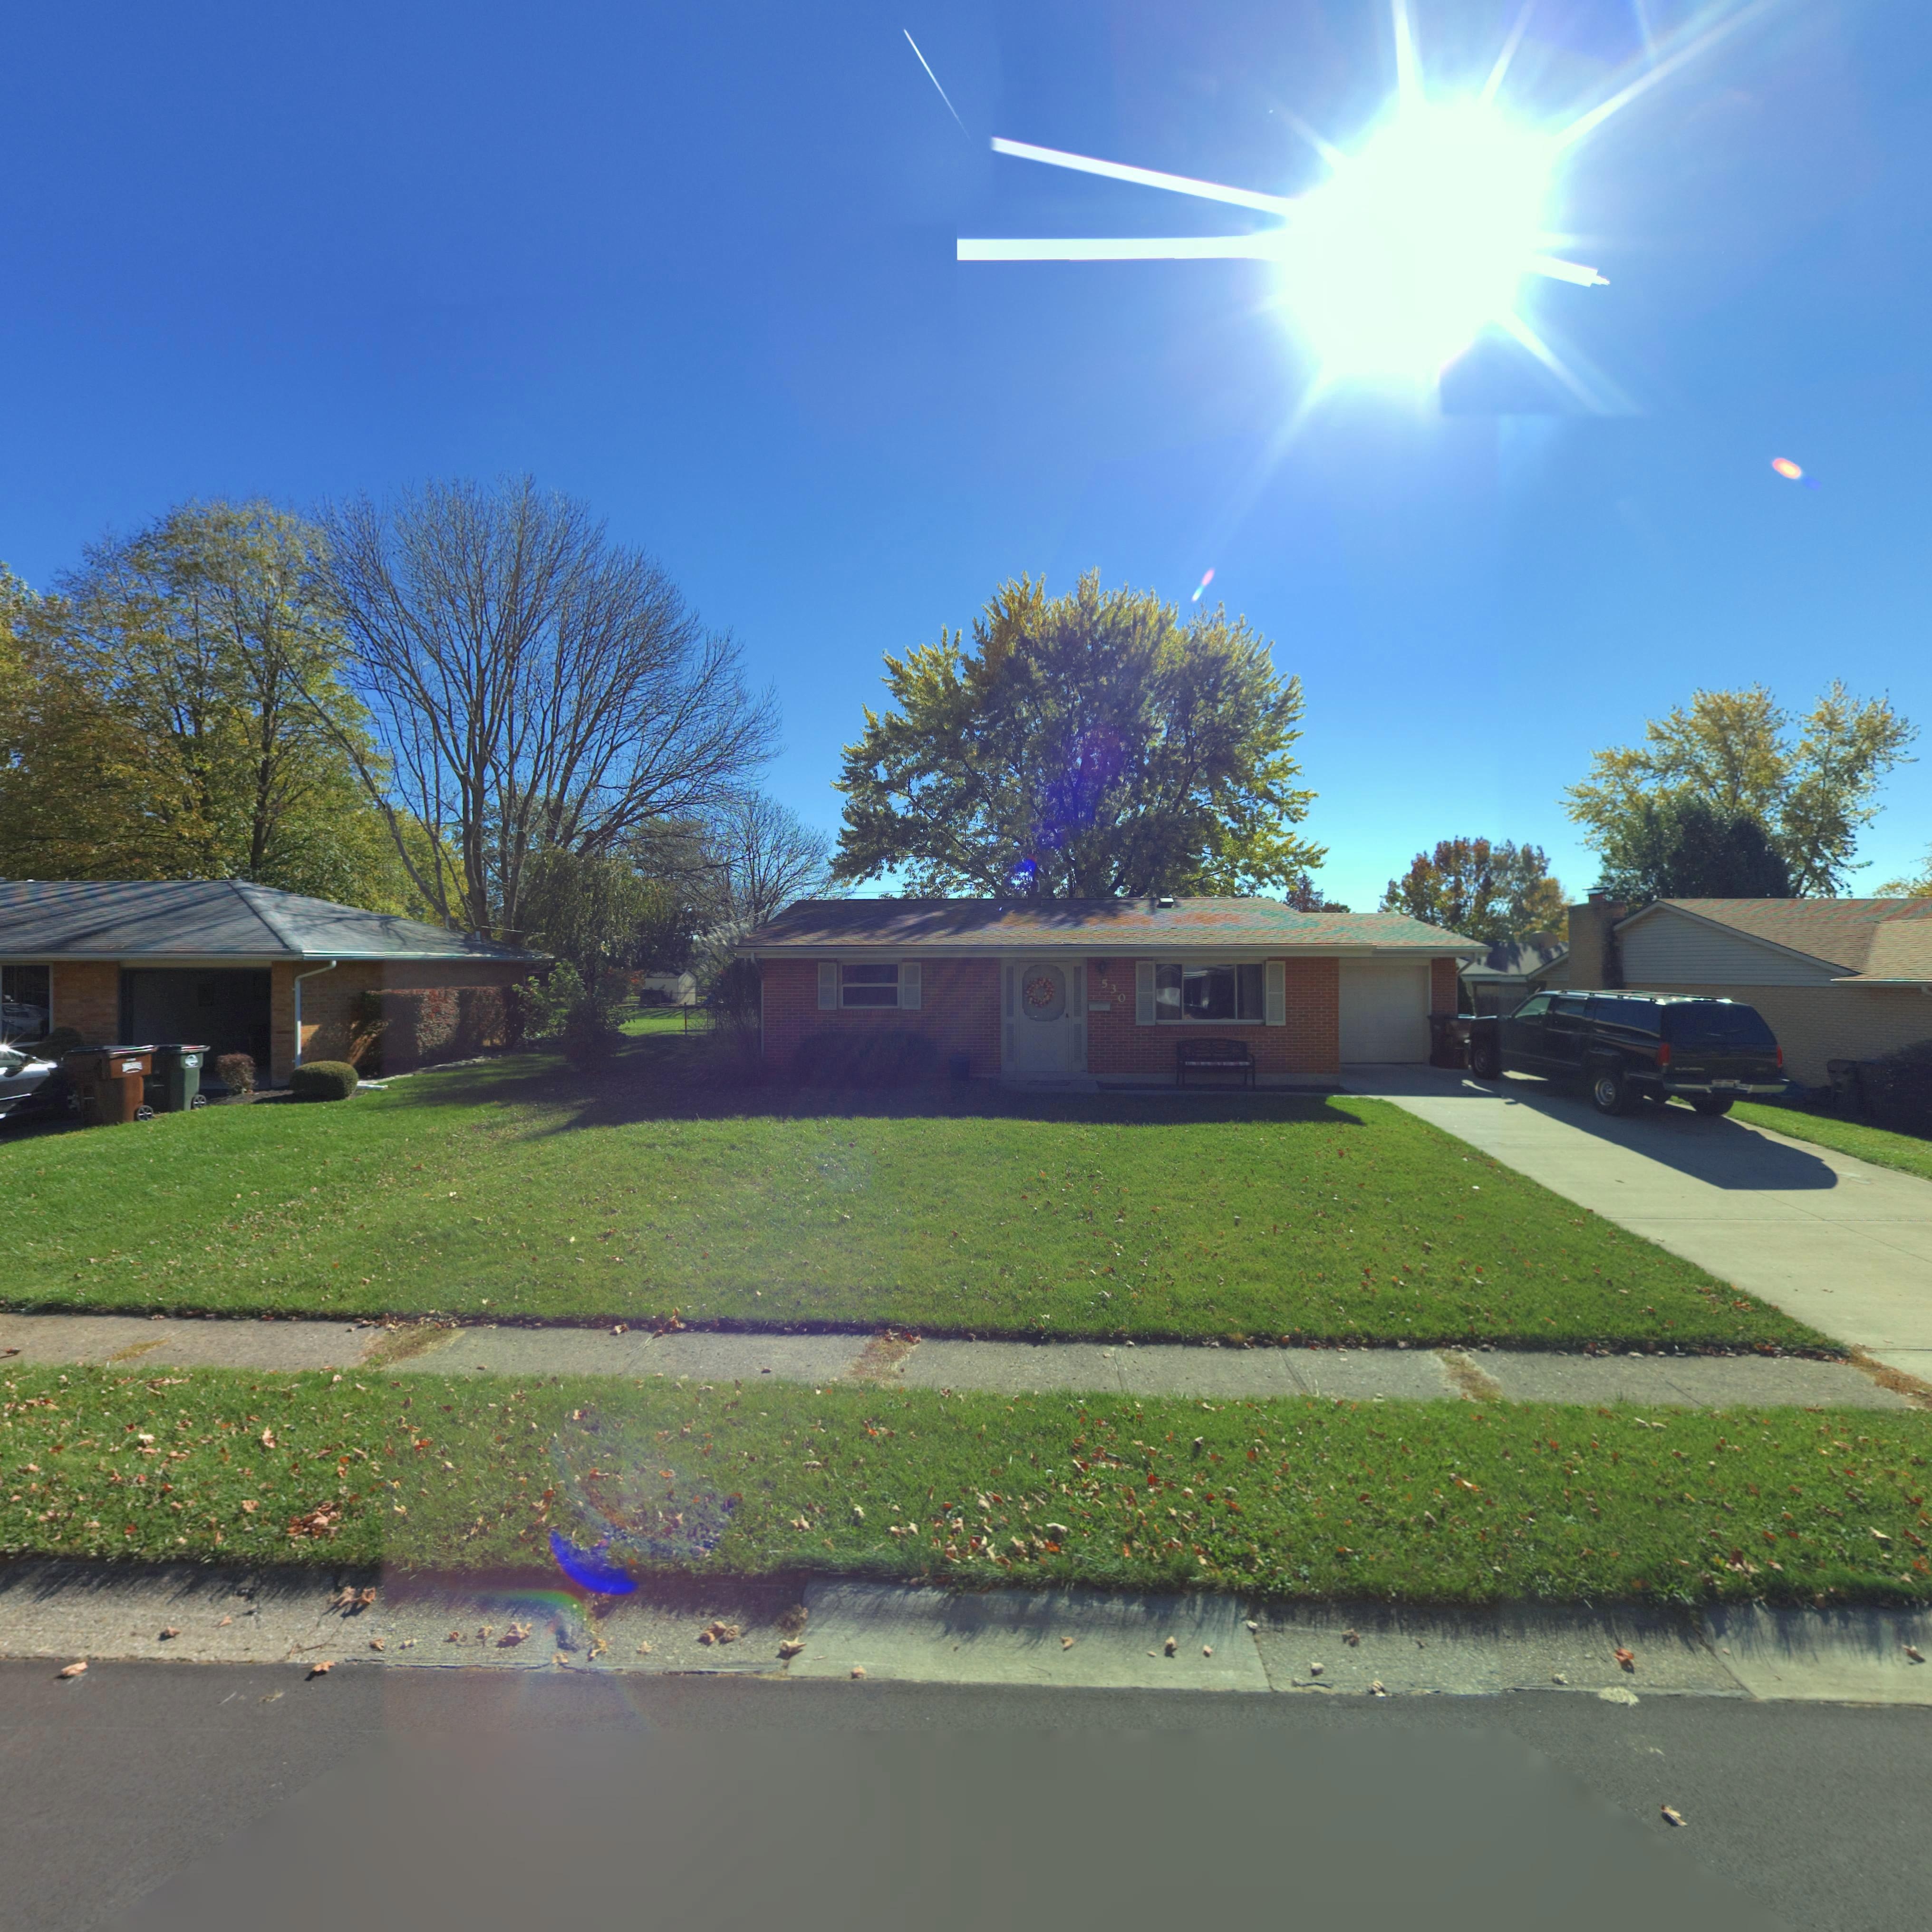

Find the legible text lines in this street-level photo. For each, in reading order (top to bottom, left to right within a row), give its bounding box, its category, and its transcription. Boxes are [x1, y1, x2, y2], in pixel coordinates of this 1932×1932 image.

[1099, 978, 1127, 1004] StreetNumber: 530